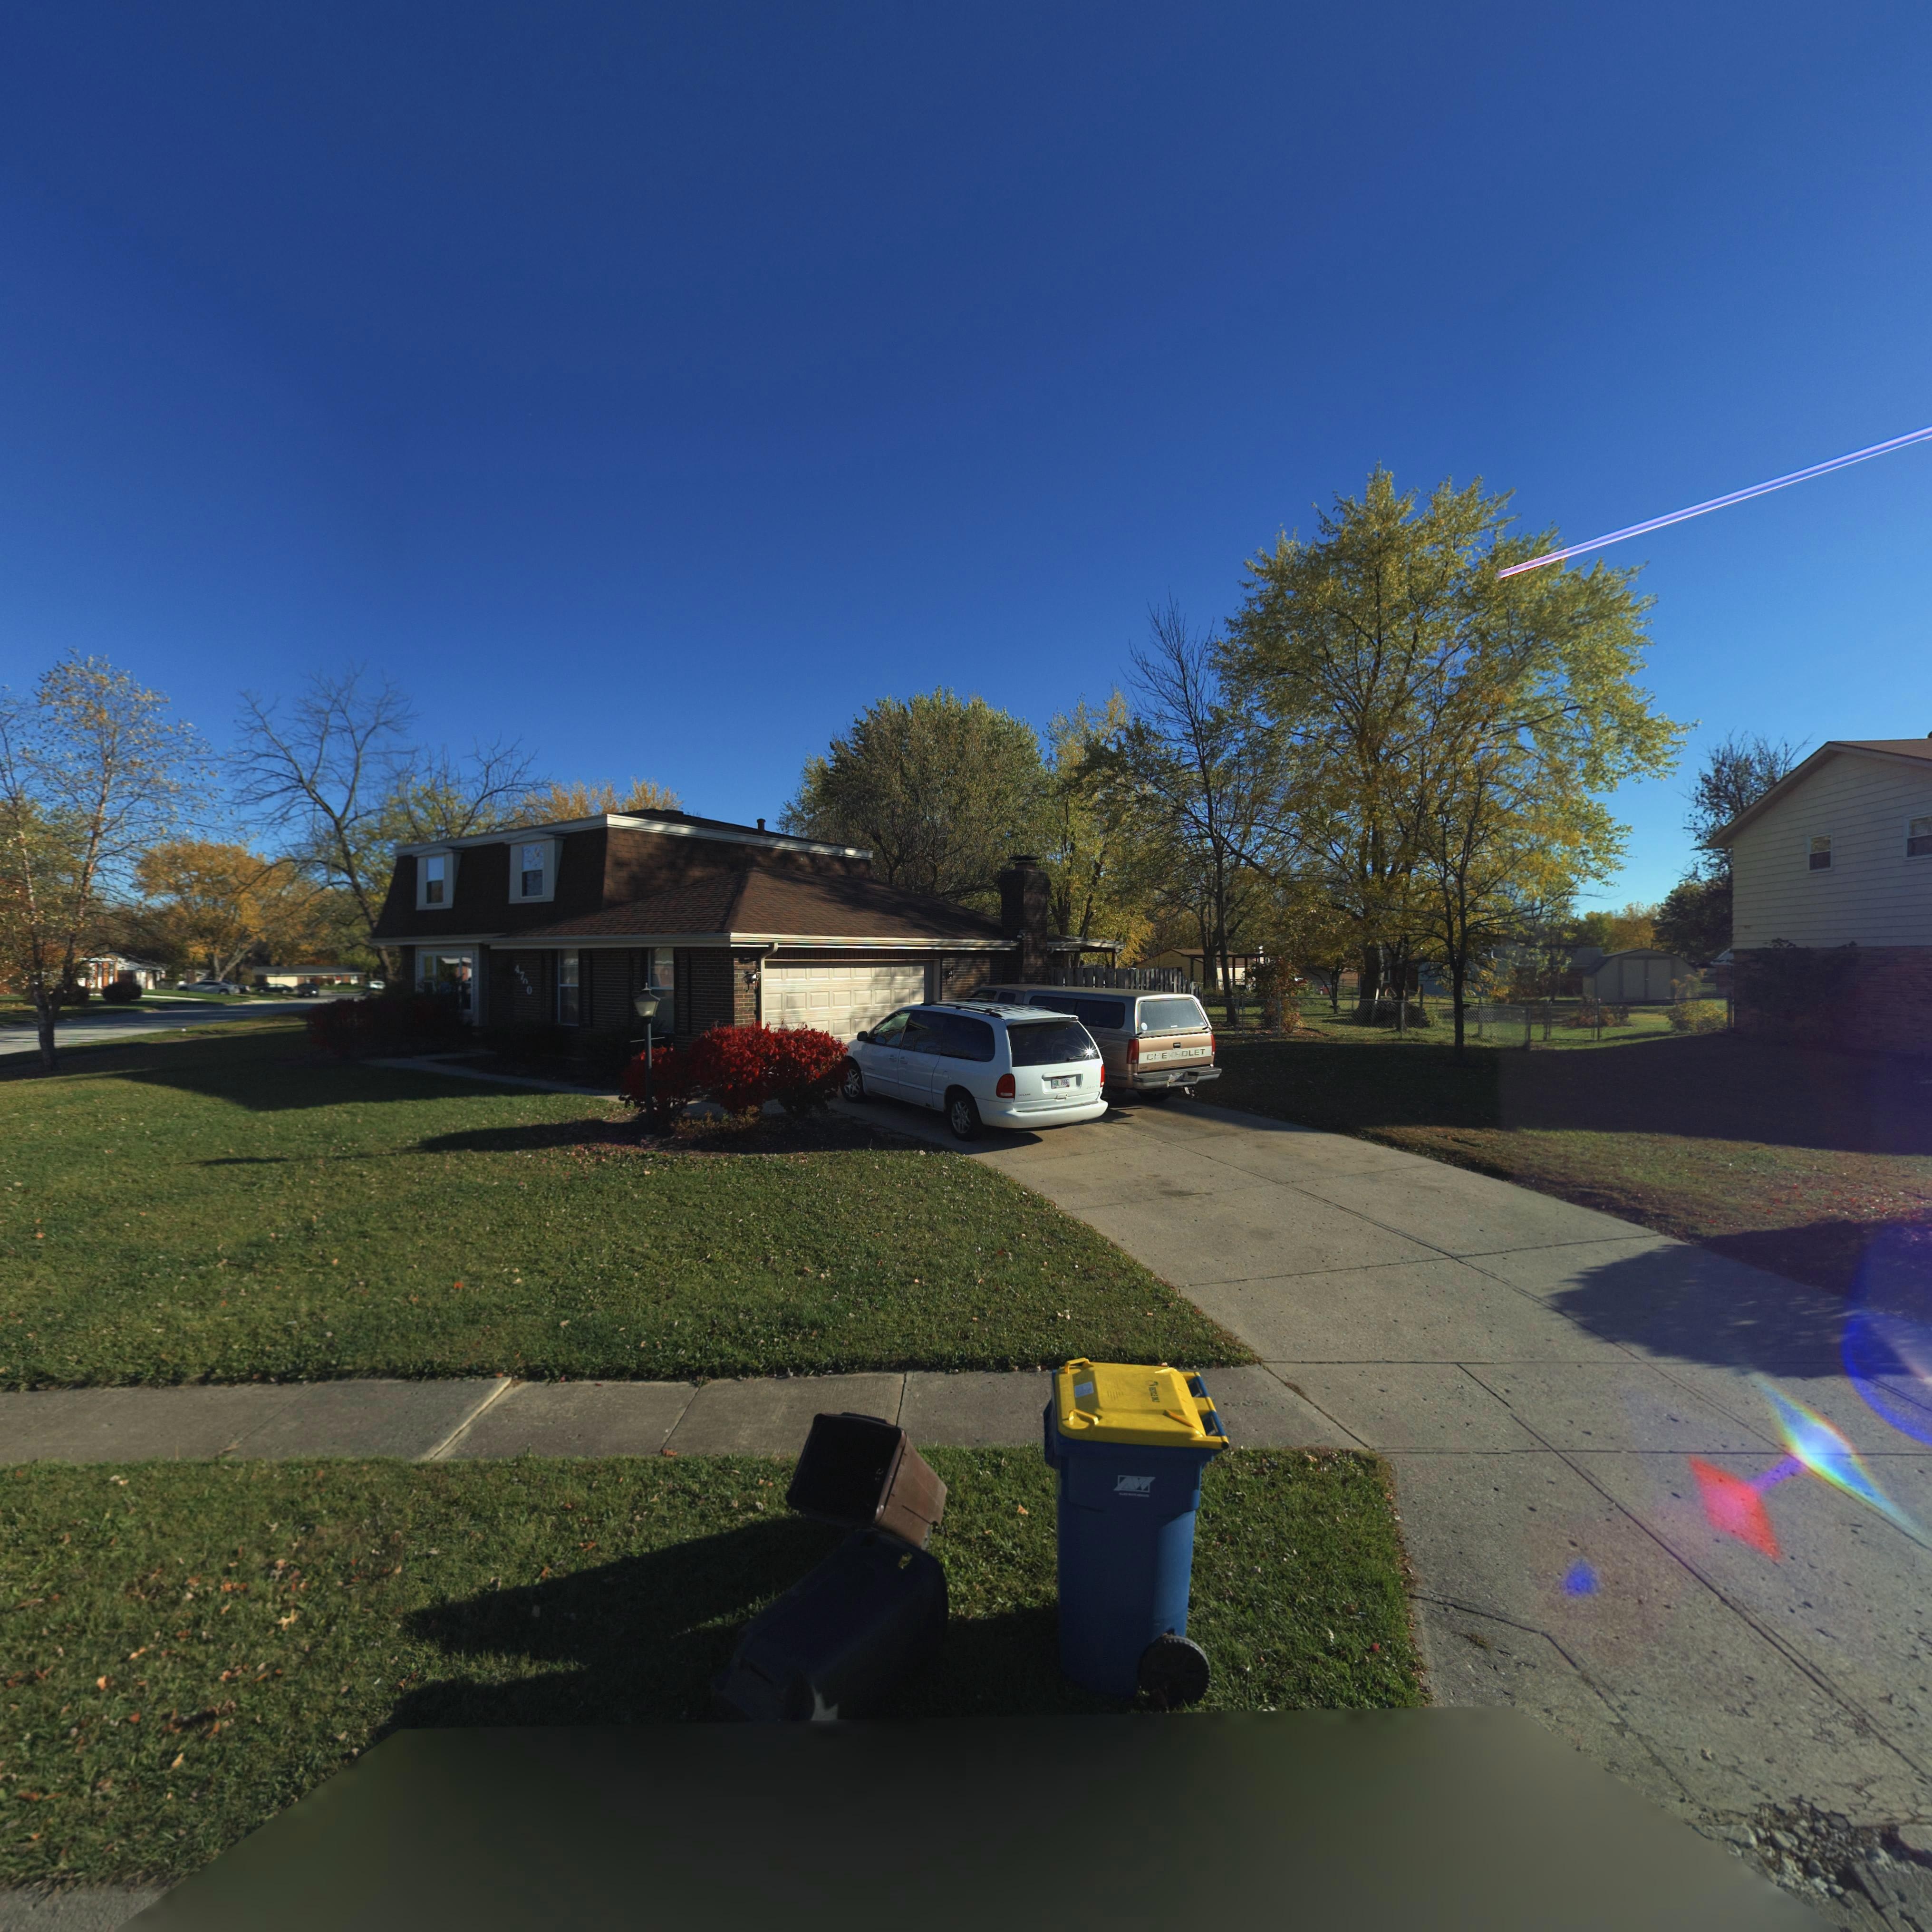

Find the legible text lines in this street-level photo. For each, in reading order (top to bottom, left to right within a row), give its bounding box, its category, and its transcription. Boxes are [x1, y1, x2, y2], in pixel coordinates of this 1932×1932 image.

[513, 963, 534, 996] StreetNumber: 47*0